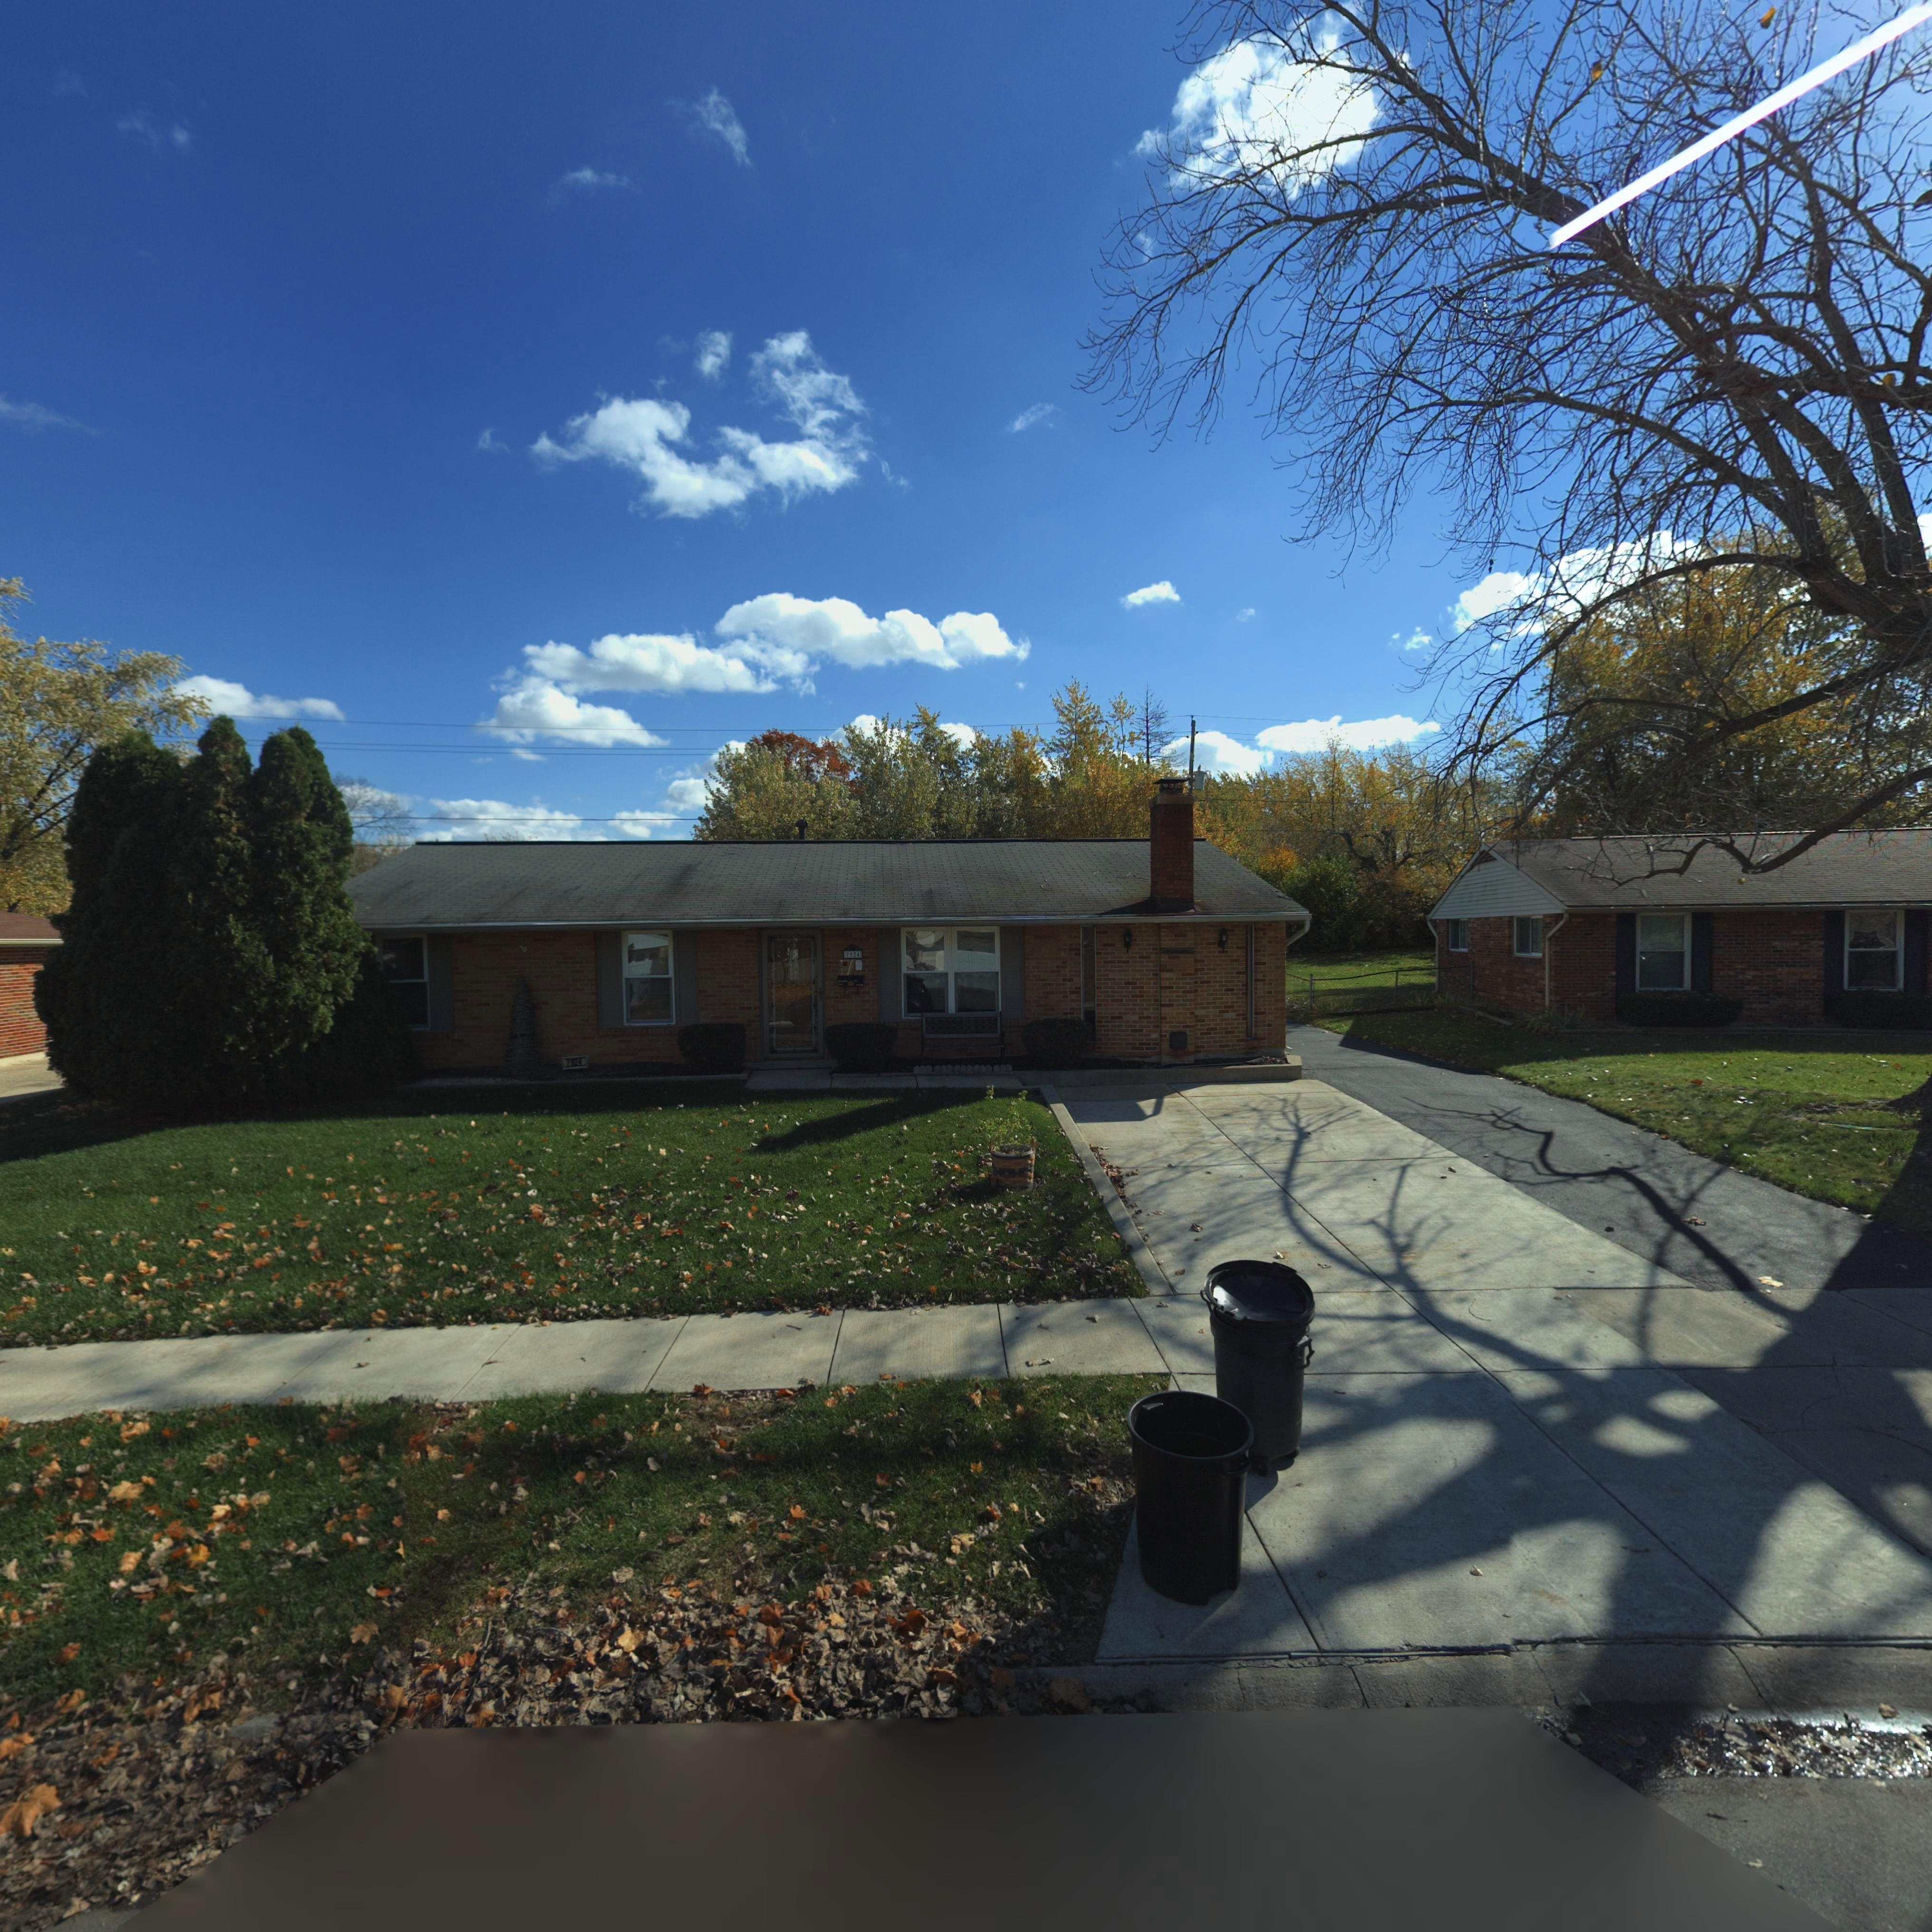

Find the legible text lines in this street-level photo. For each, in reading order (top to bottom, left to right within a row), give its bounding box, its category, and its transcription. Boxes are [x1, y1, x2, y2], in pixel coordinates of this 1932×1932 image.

[845, 951, 860, 958] StreetNumber: 7924
[565, 1056, 583, 1068] StreetNumber: 7924